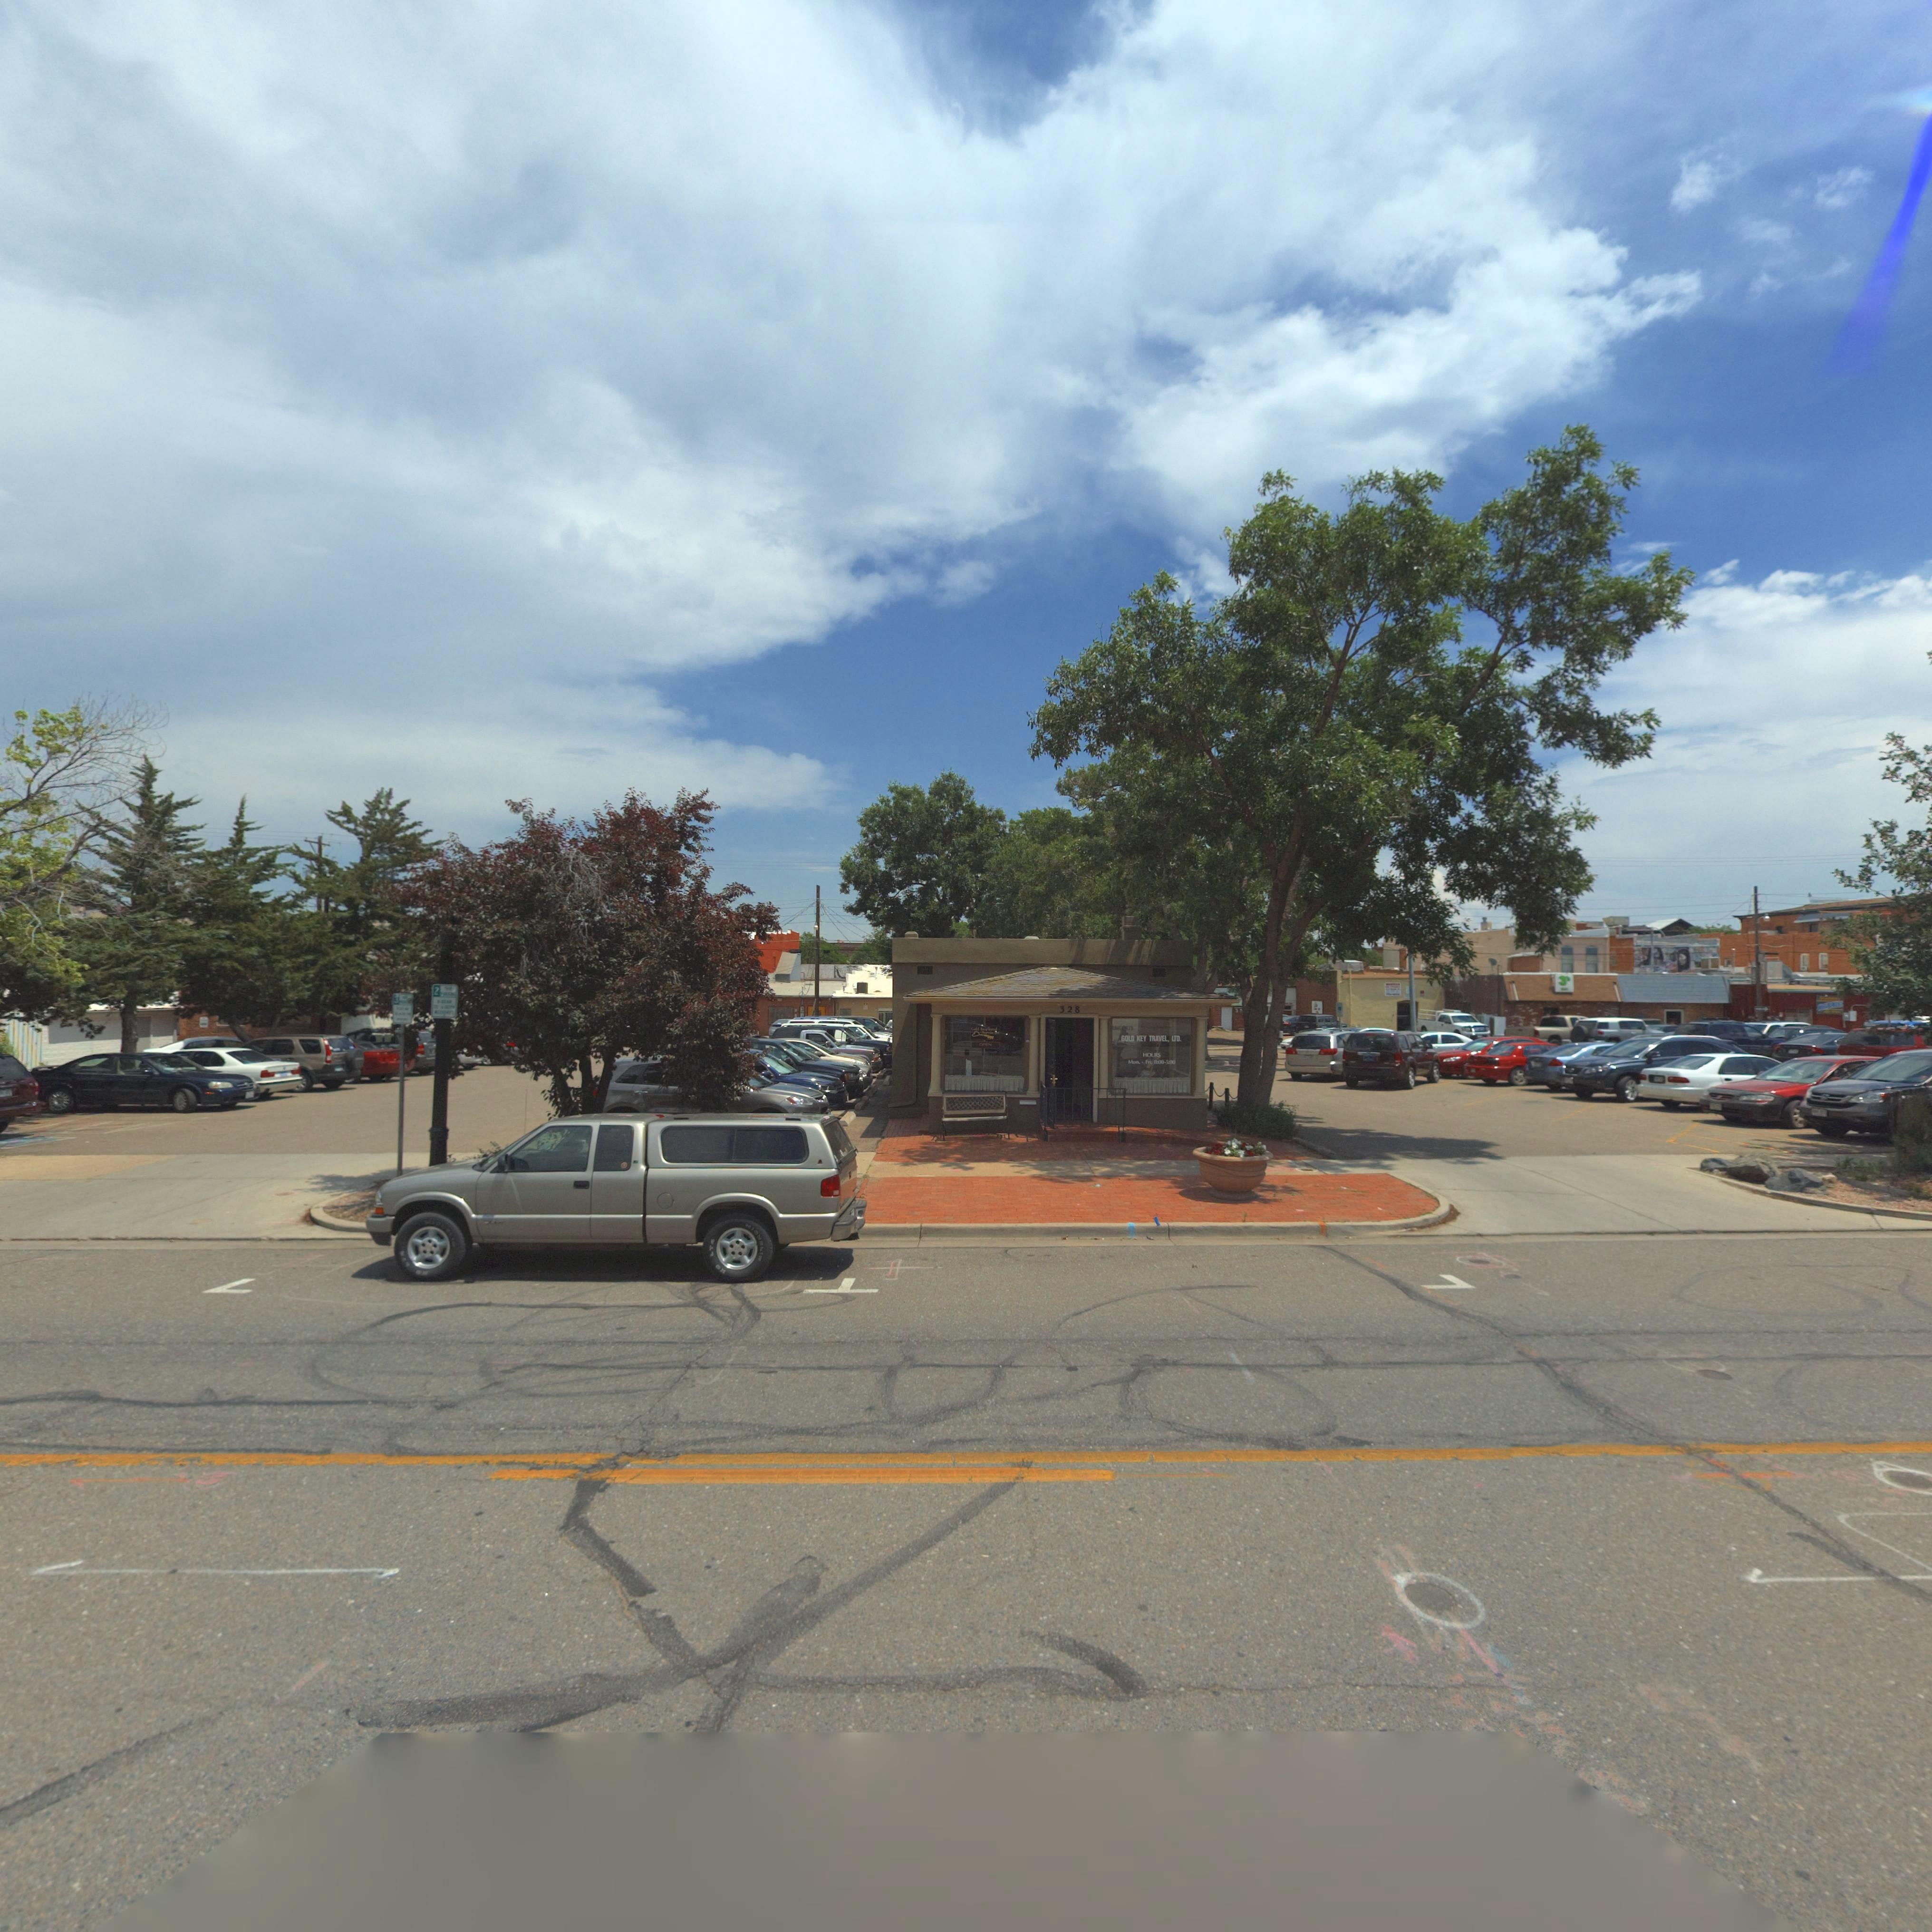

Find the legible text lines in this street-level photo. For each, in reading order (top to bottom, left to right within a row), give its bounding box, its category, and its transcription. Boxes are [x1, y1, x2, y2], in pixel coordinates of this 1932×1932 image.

[1059, 1005, 1080, 1014] StreetNumber: 328
[971, 1025, 987, 1032] BusinessName: G*ld K*y
[1120, 1034, 1182, 1043] BusinessName: GOLD KEY TRAVEL, LTD.